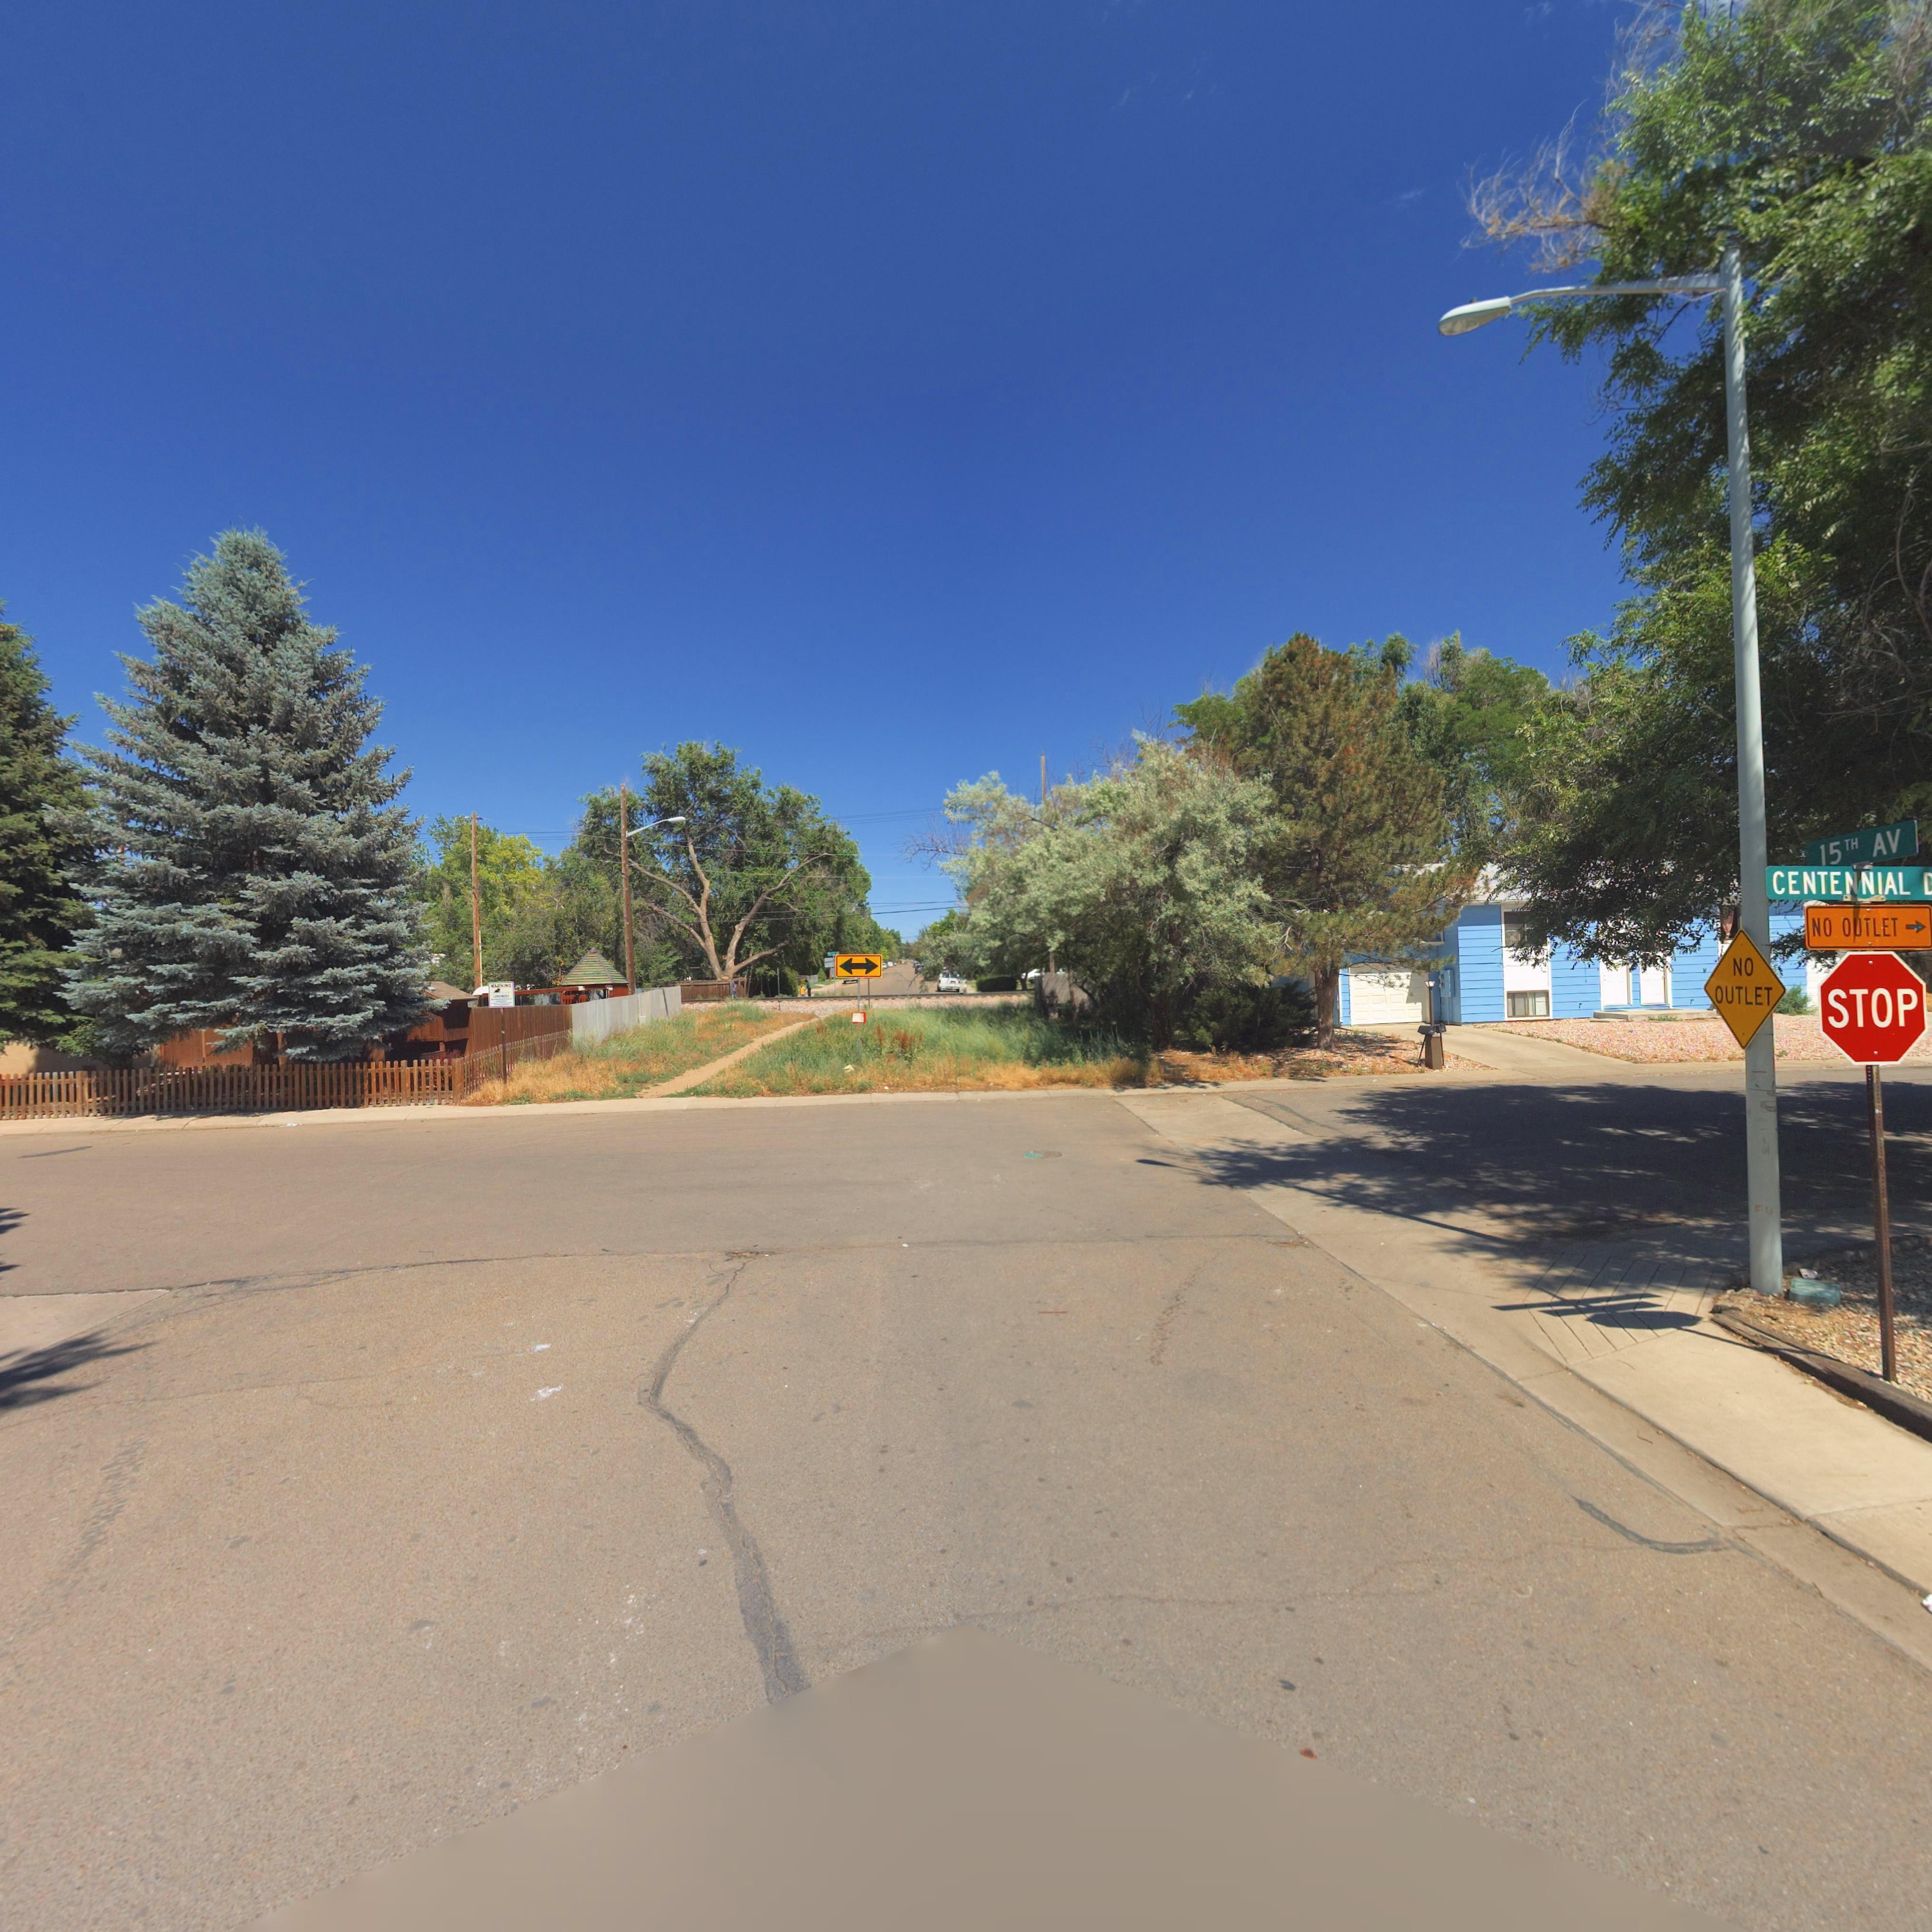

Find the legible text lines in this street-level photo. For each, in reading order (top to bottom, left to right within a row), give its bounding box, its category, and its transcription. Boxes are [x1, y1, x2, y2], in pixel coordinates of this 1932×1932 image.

[1818, 827, 1901, 867] StreetName: 15TH AV
[1771, 870, 1911, 896] StreetName: CENTENNIAL